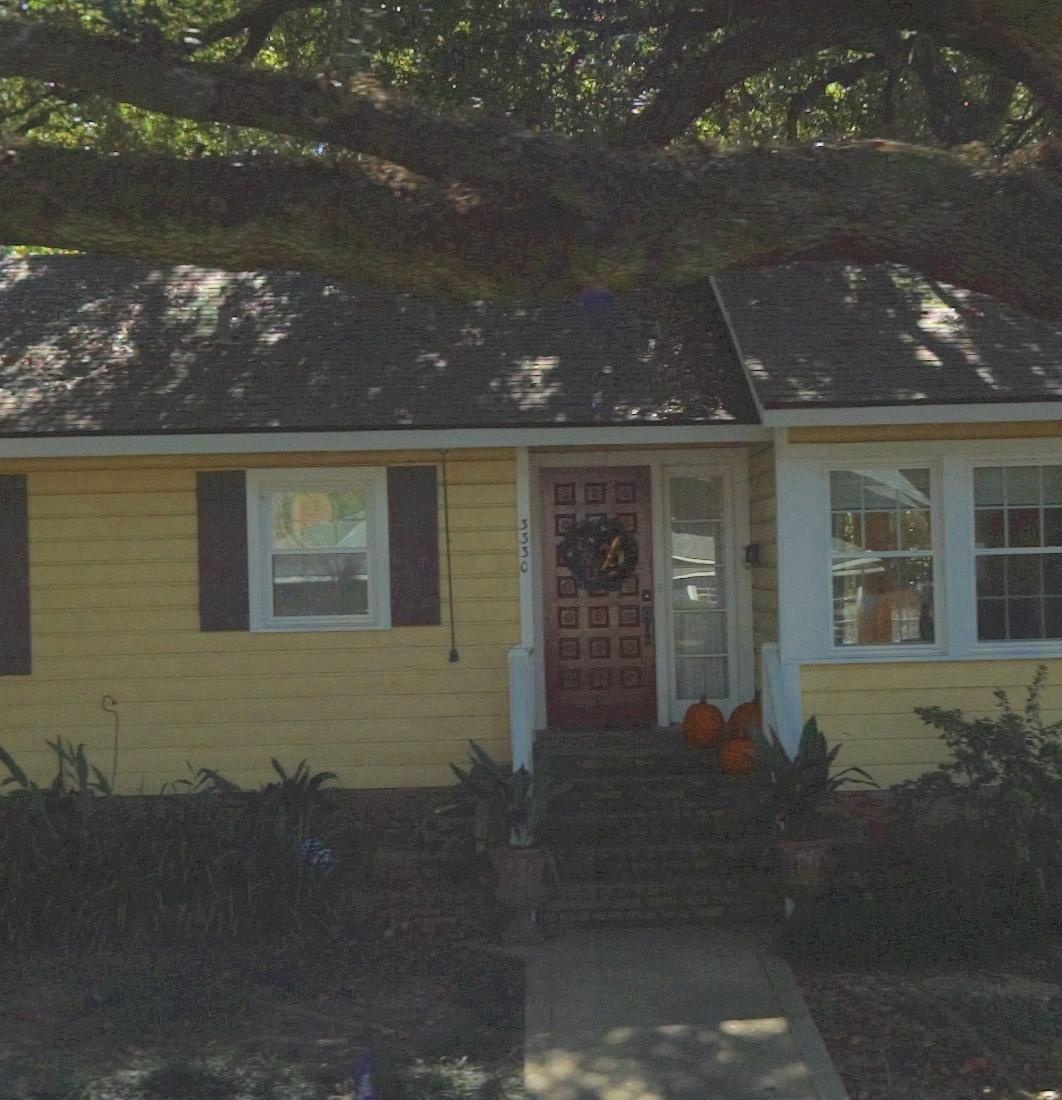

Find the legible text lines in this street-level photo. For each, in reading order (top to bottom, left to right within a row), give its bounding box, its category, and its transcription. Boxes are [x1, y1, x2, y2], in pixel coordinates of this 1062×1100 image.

[516, 517, 532, 575] StreetNumber: 3530